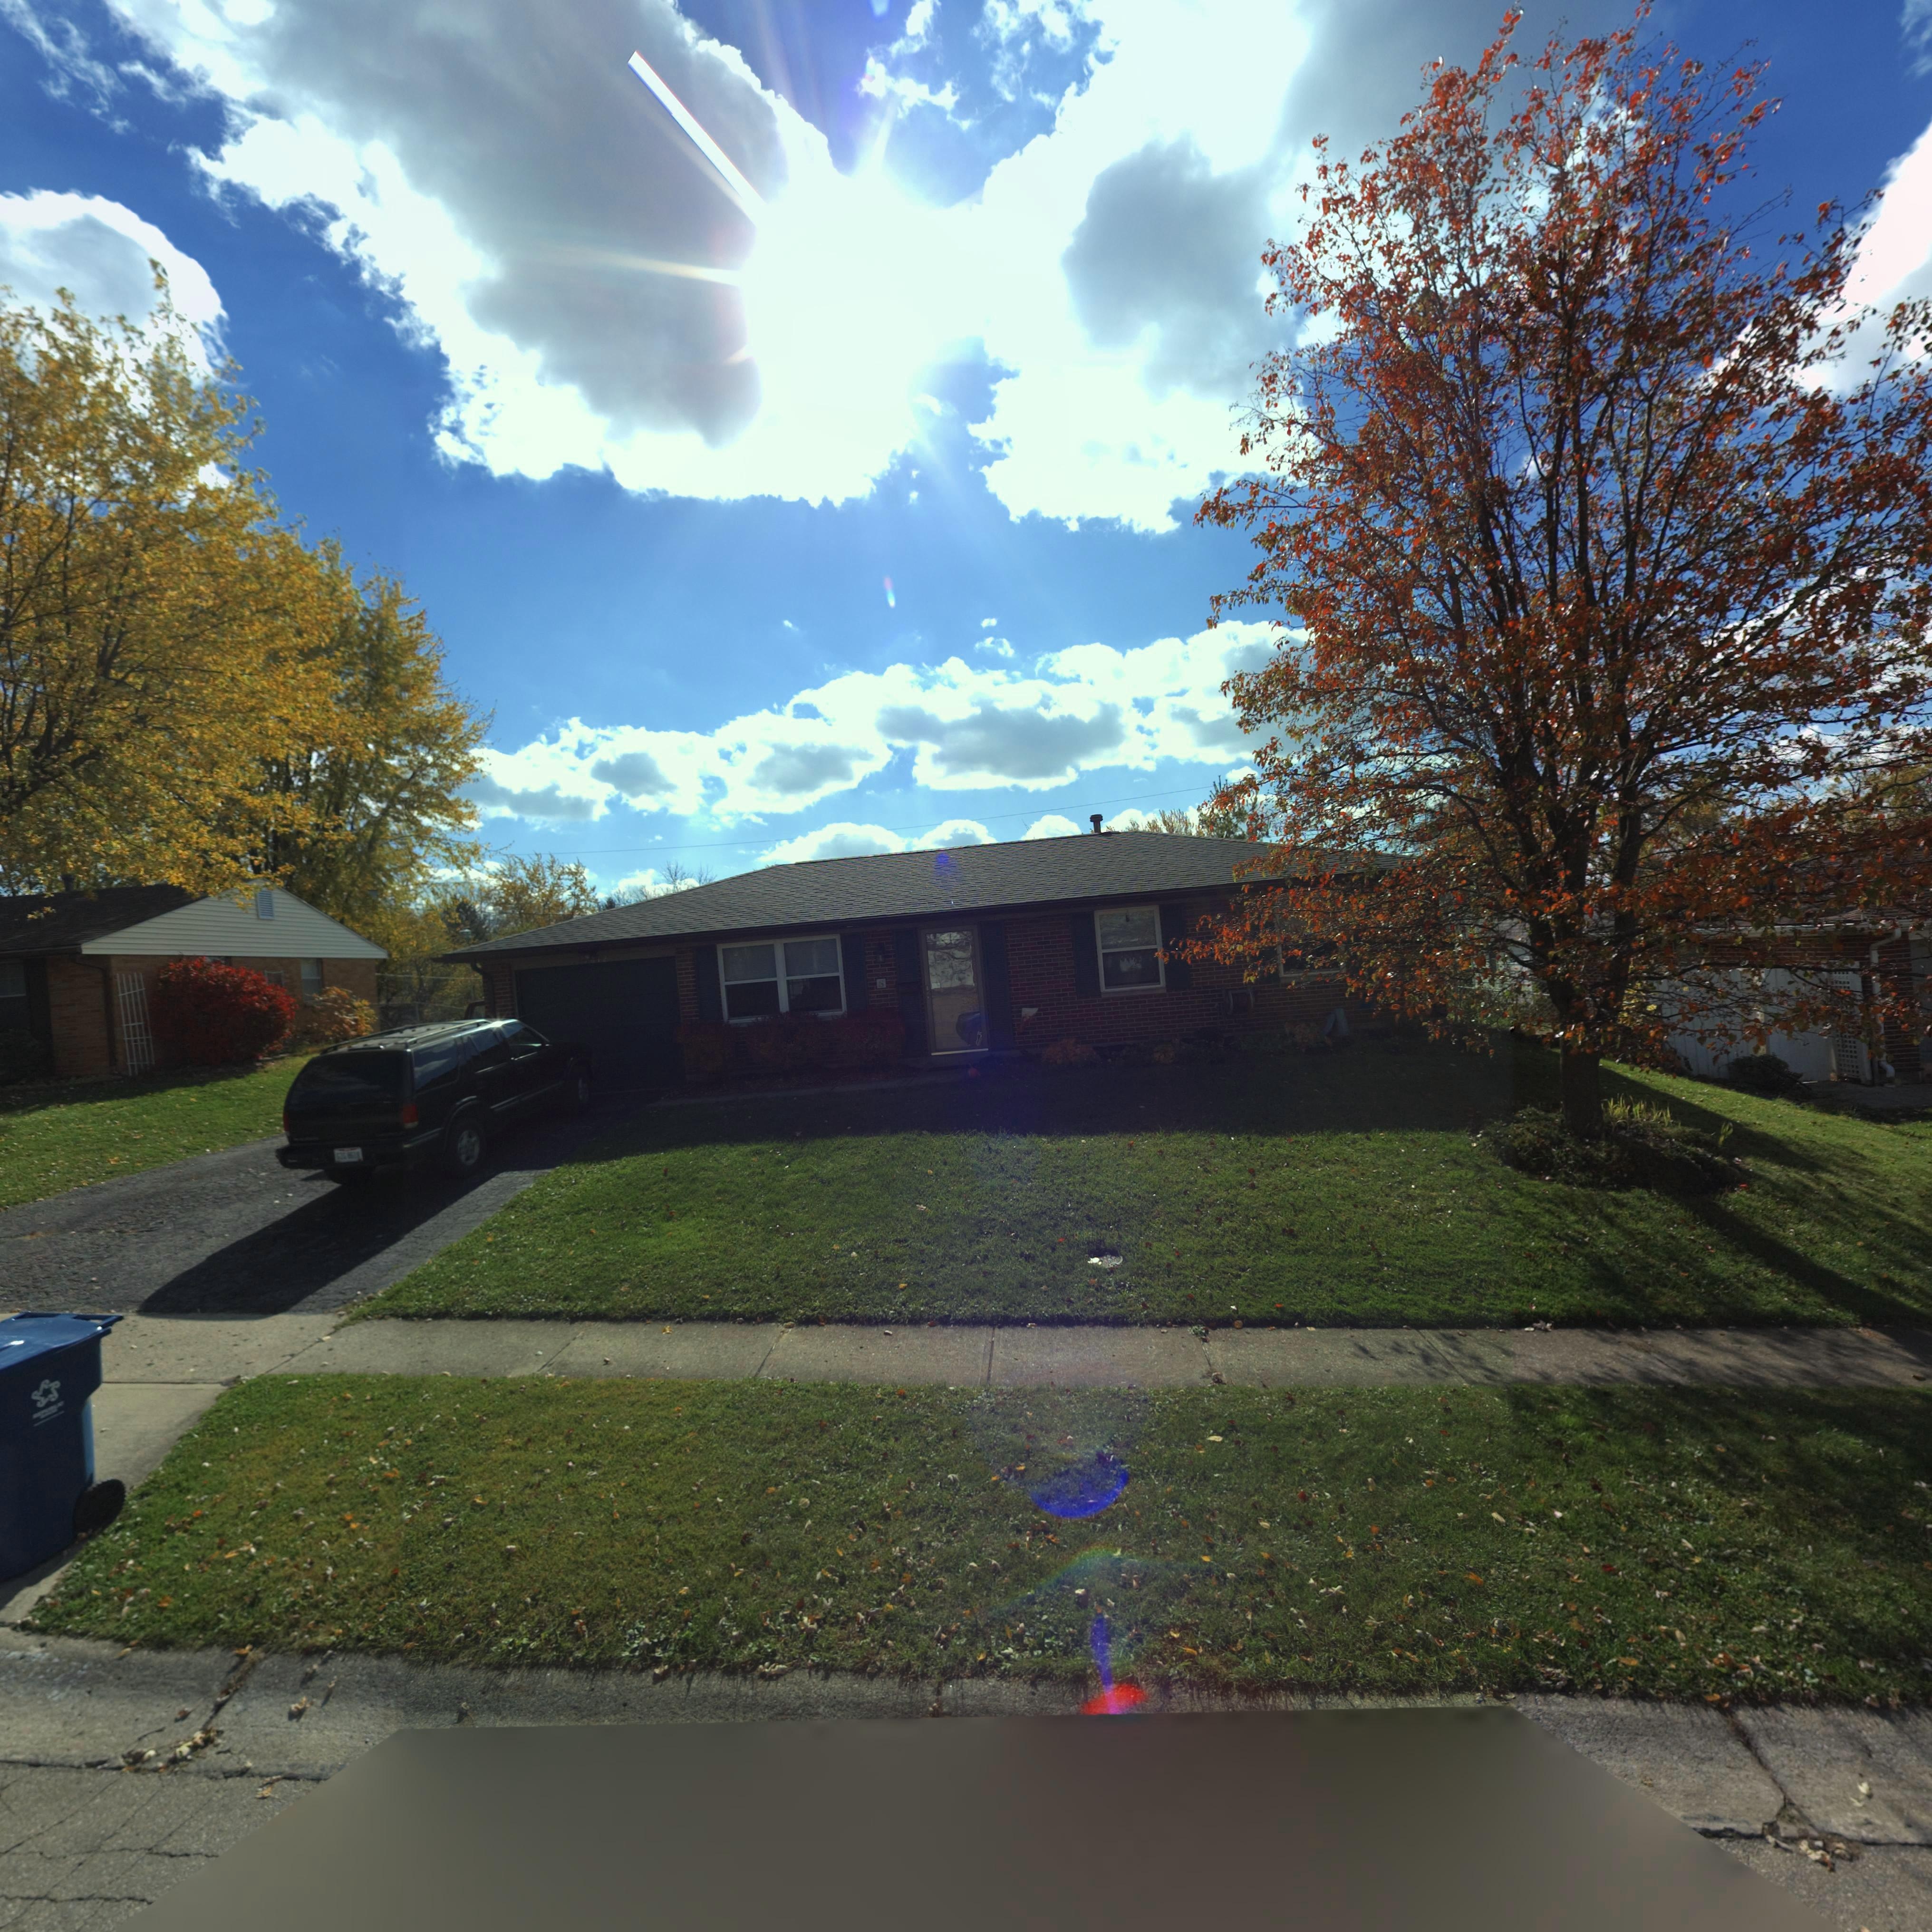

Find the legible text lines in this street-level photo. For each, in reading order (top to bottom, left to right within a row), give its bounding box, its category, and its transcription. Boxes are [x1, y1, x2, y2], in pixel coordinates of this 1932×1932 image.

[583, 955, 607, 965] StreetNumber: *612